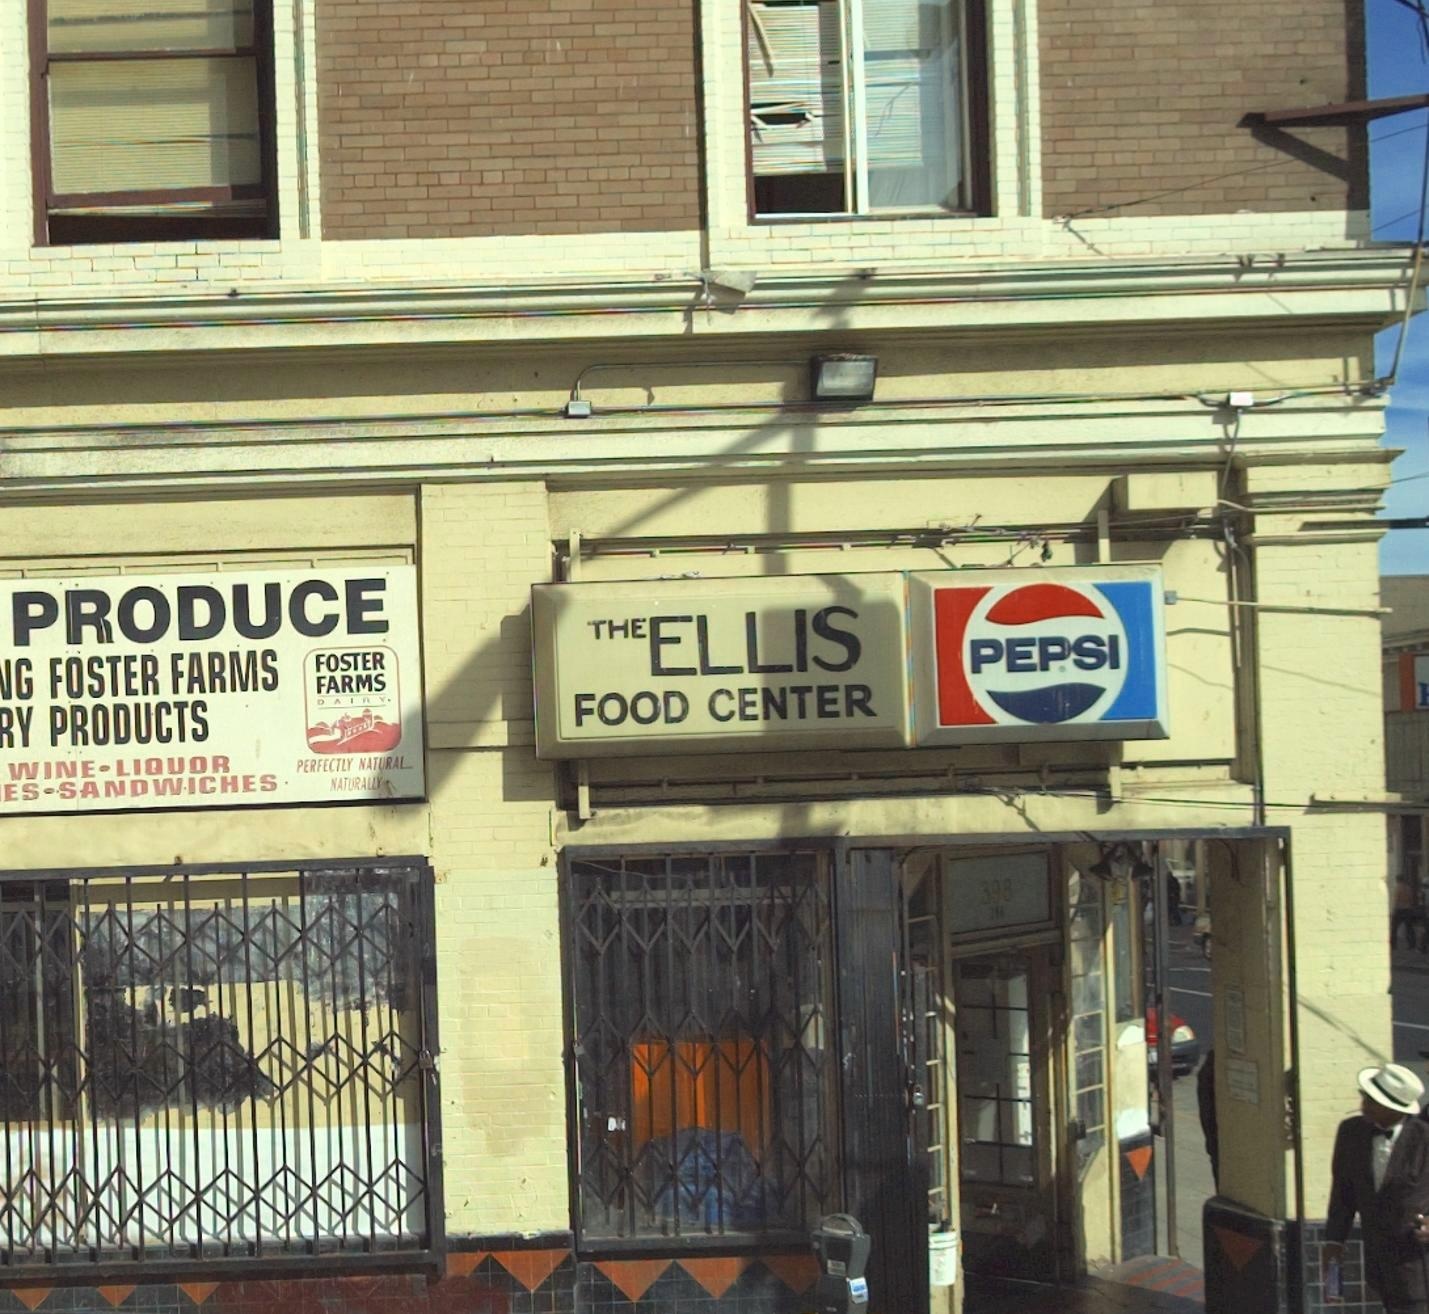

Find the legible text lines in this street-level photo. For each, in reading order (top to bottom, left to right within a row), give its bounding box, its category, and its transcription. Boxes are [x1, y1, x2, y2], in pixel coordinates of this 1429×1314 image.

[9, 575, 391, 648] BusinessName: PRODUCE
[13, 646, 282, 702] None: G FOSTER FARMS
[313, 648, 390, 675] None: FOSTER
[314, 671, 390, 697] None: FARMS
[581, 601, 866, 681] BusinessName: THE ELLIS
[968, 631, 1124, 677] None: PEPSI
[315, 694, 388, 708] None: DAIRY
[571, 680, 882, 731] BusinessName: FOOD CENTER
[12, 697, 213, 750] None: Y PRODUCTS
[5, 752, 234, 783] None: WINE * LIQUOR
[0, 771, 280, 804] None: ES * SANDWICHES
[294, 754, 416, 775] None: PERFECTLY NATURAL
[327, 774, 386, 794] None: NATURALLY
[977, 874, 1016, 907] StreetNumber: 398